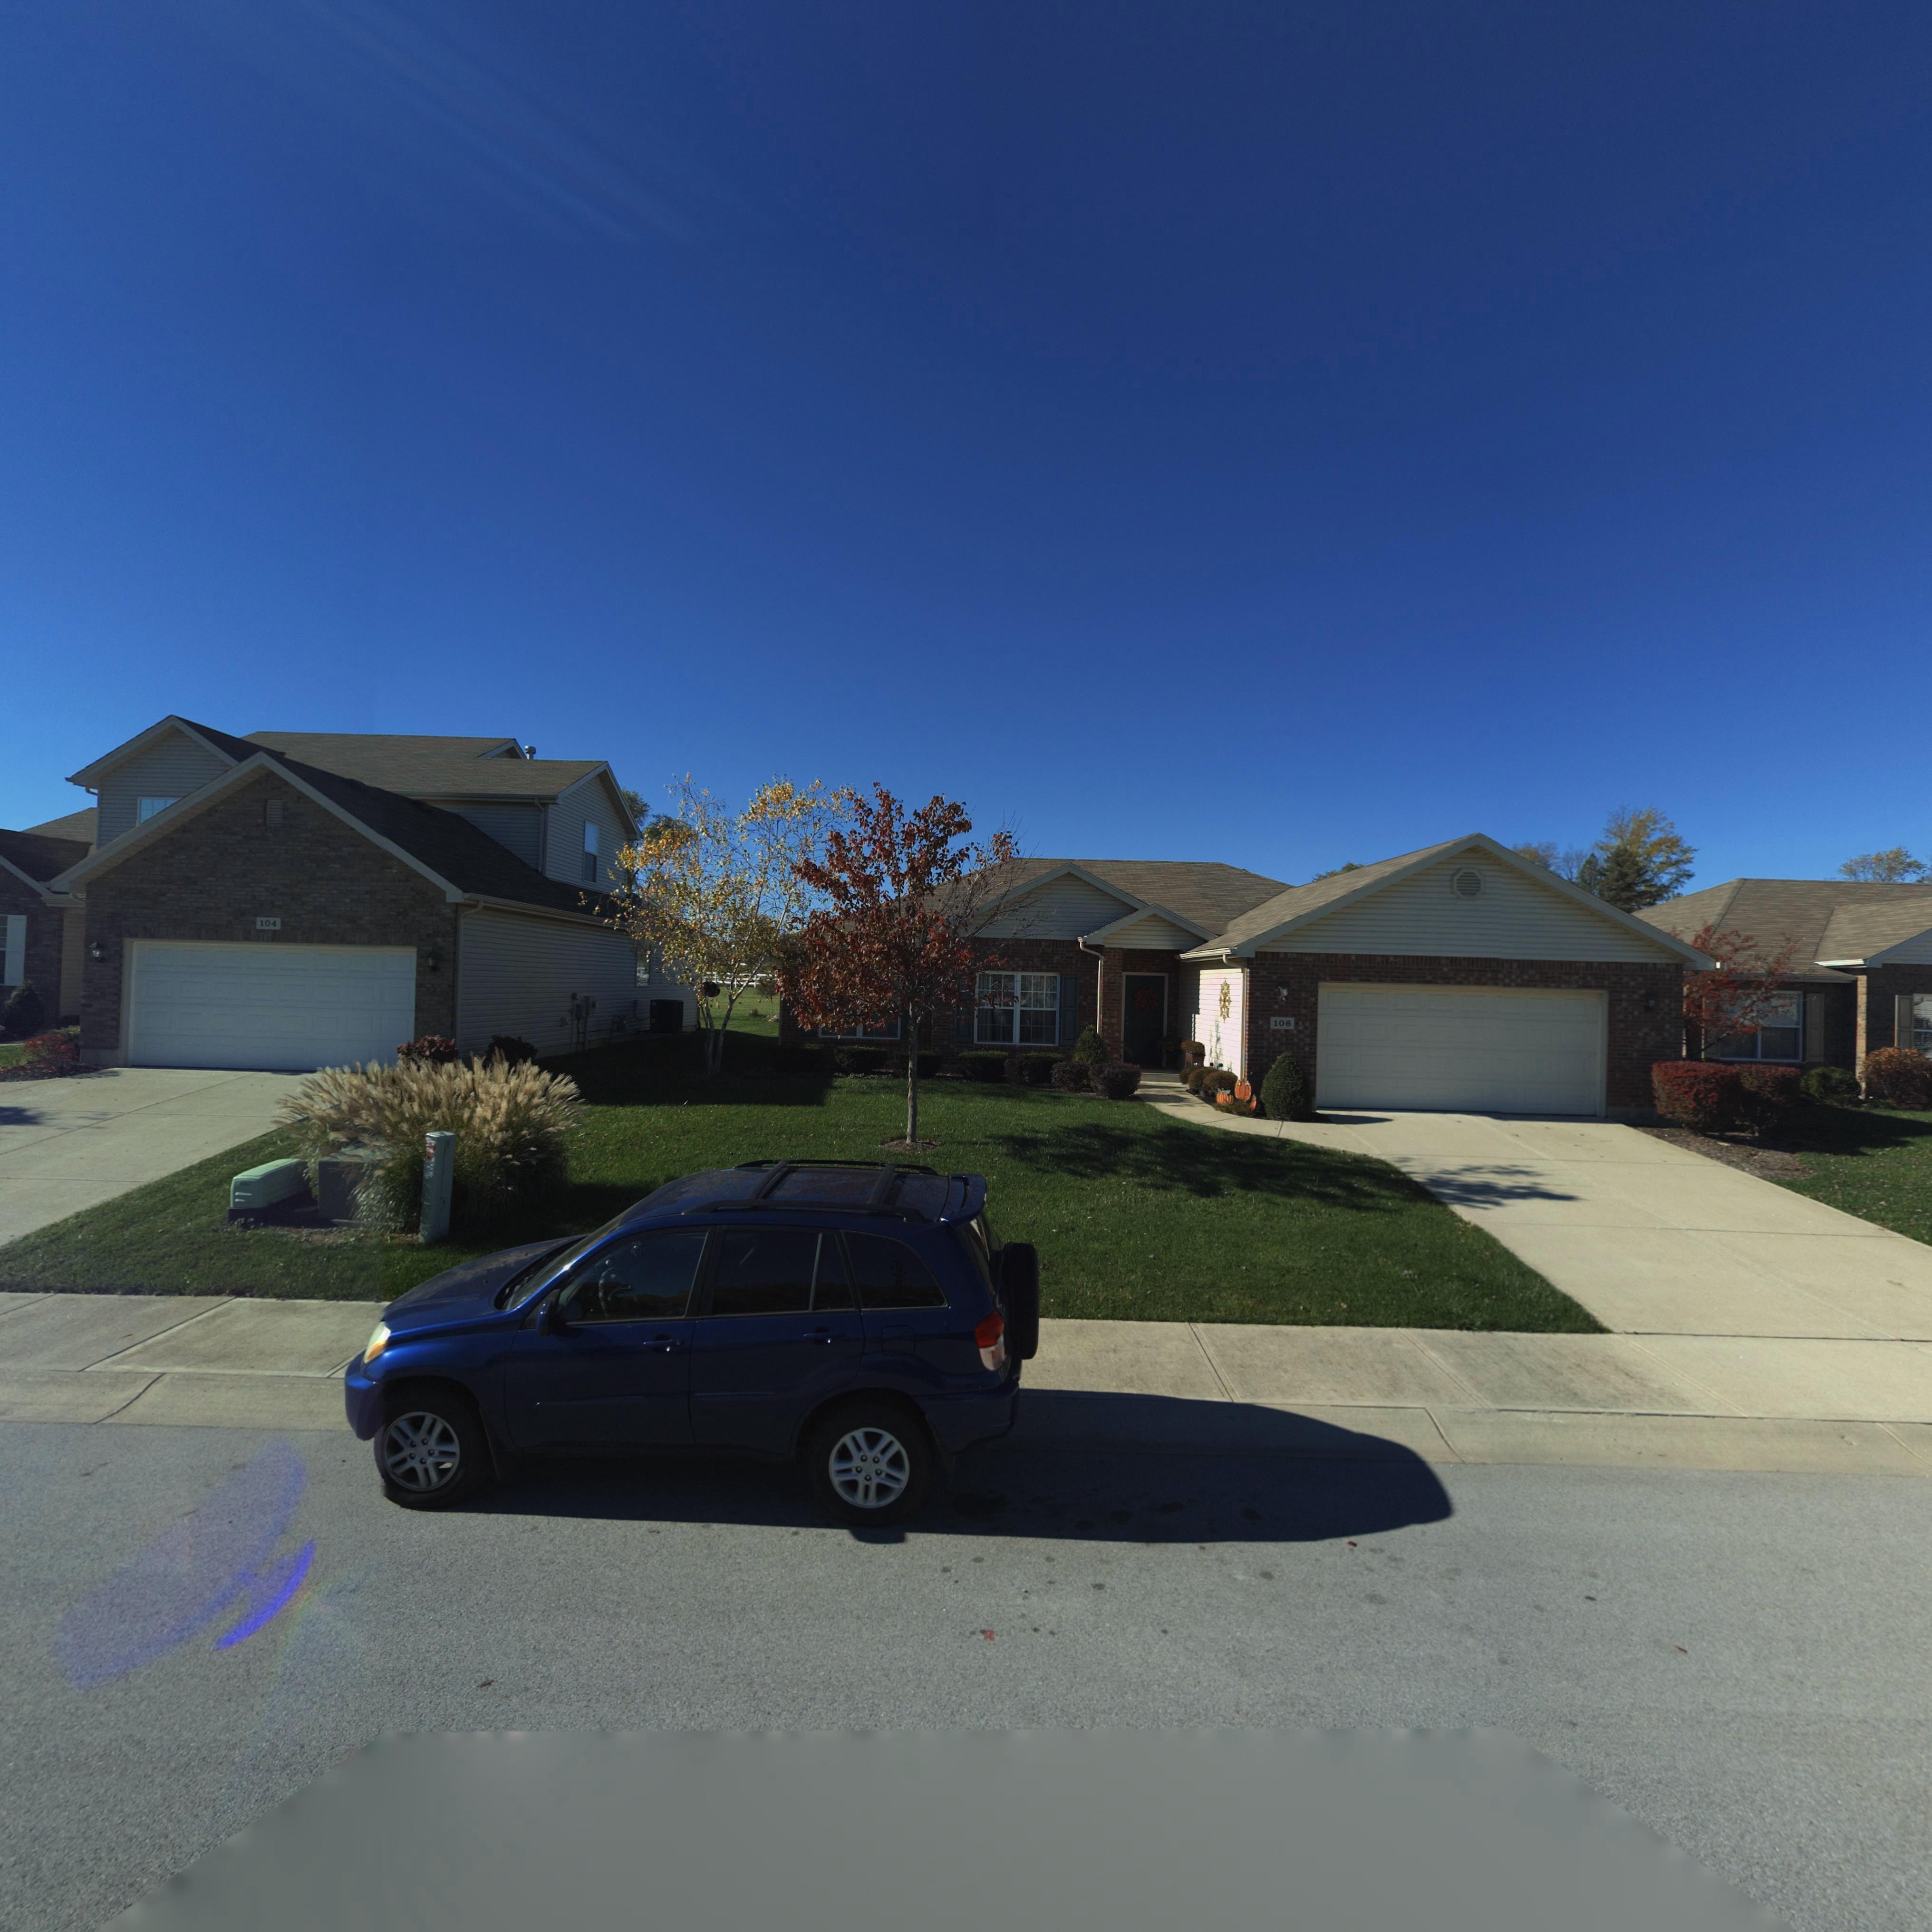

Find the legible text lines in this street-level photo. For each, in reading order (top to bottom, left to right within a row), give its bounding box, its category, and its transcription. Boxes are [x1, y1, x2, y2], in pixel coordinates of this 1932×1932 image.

[259, 919, 278, 927] StreetNumber: 104
[1273, 1019, 1292, 1027] StreetNumber: 106